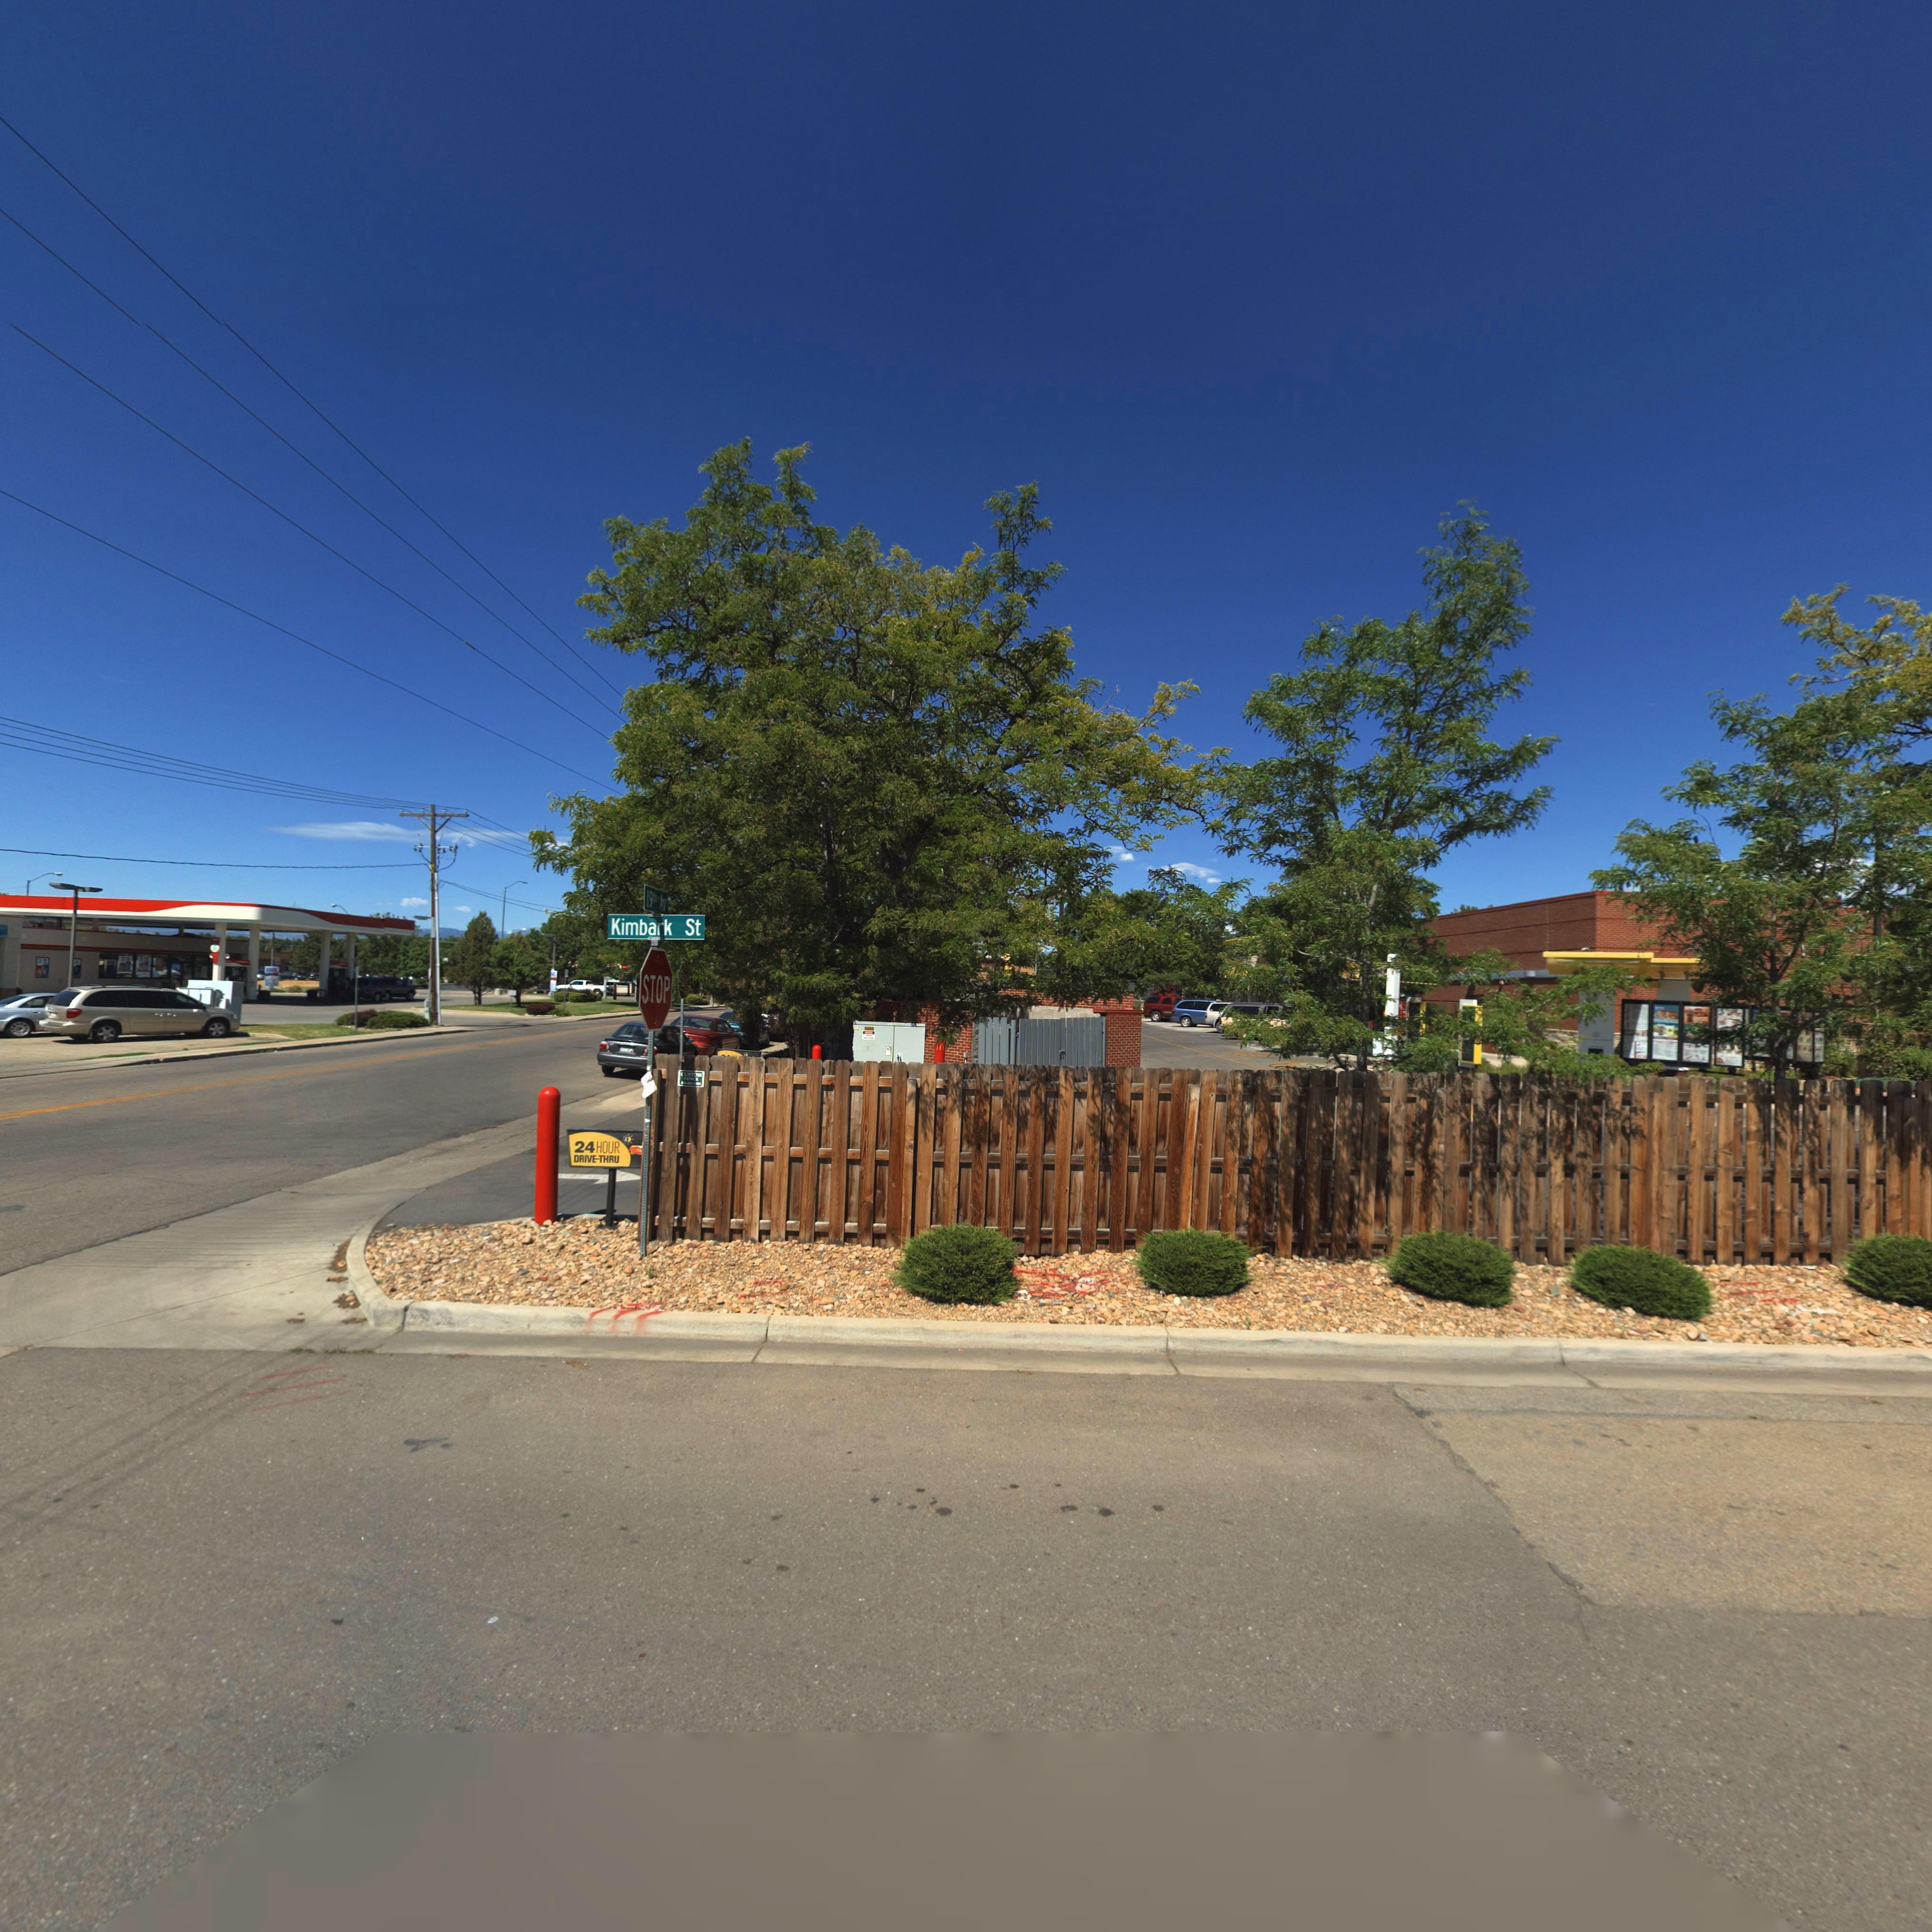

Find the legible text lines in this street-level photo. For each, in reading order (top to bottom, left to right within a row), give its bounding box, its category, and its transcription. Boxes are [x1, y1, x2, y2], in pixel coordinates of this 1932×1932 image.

[646, 889, 667, 912] StreetName: 19th Av
[611, 918, 702, 937] StreetName: Kimbark St